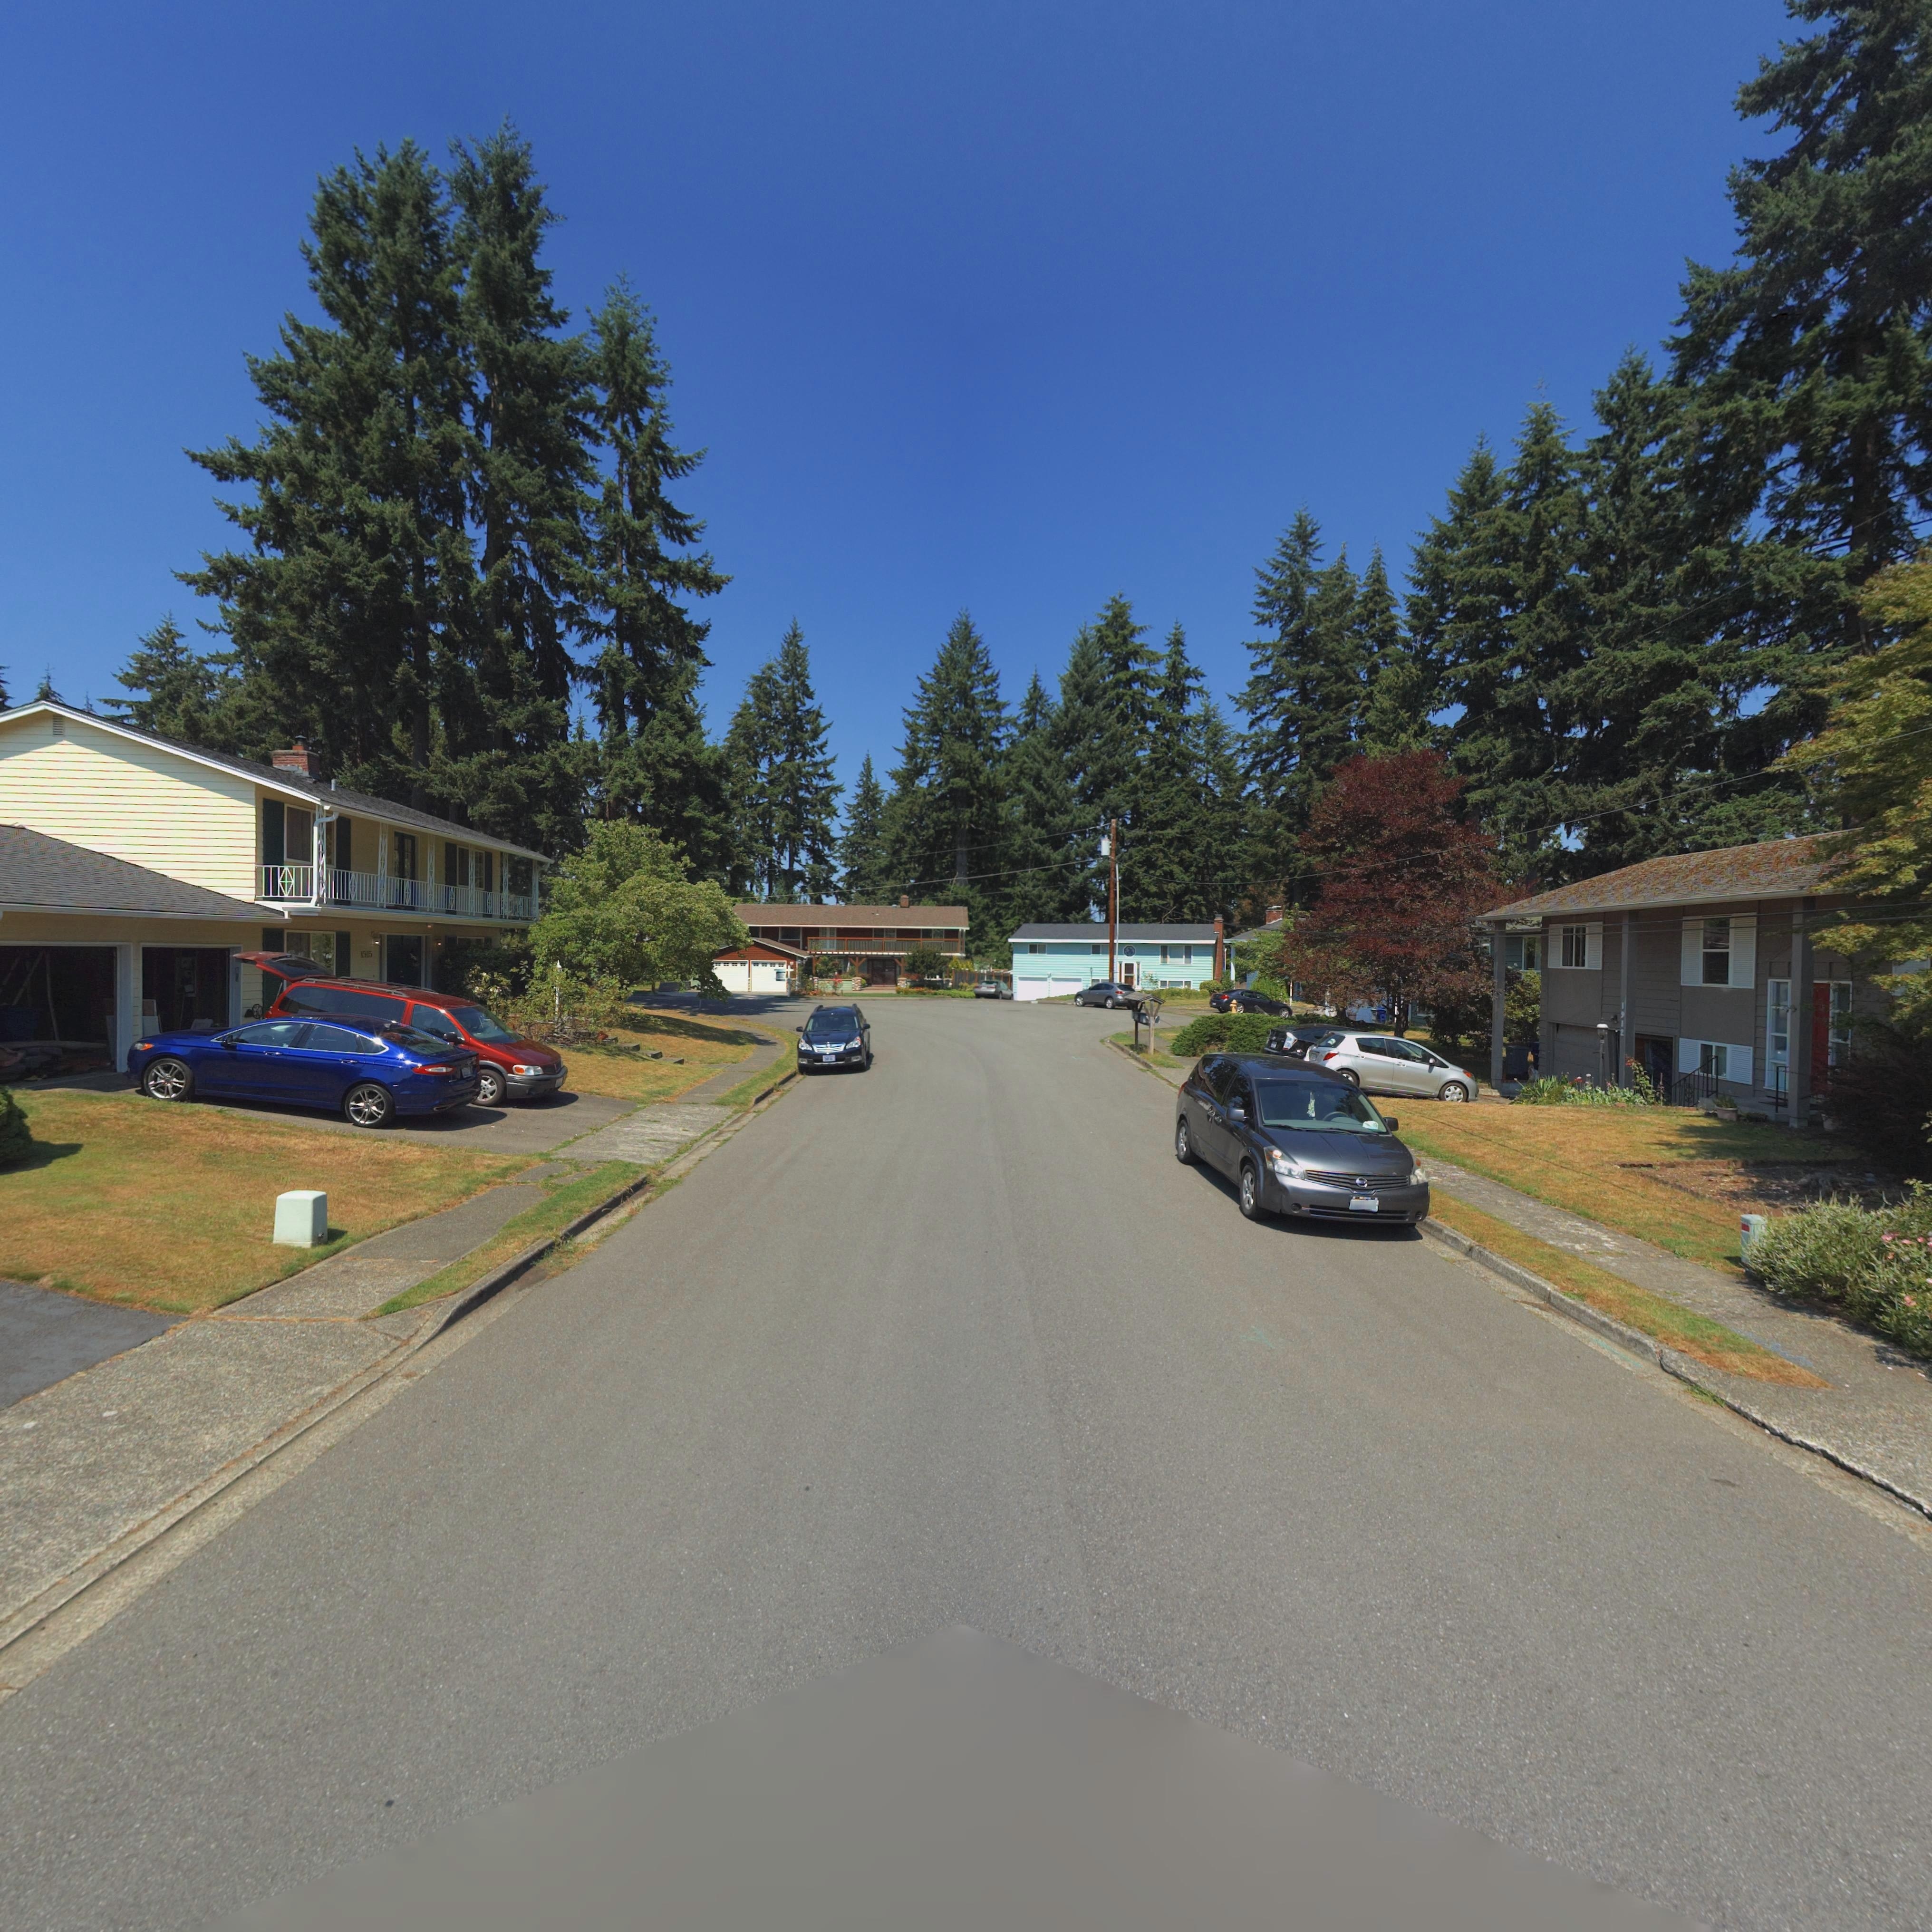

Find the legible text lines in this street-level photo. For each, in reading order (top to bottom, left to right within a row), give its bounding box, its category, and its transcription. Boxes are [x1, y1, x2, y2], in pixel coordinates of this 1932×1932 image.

[360, 950, 373, 958] StreetNumber: 1*15
[1620, 1000, 1625, 1036] StreetNumber: 1912